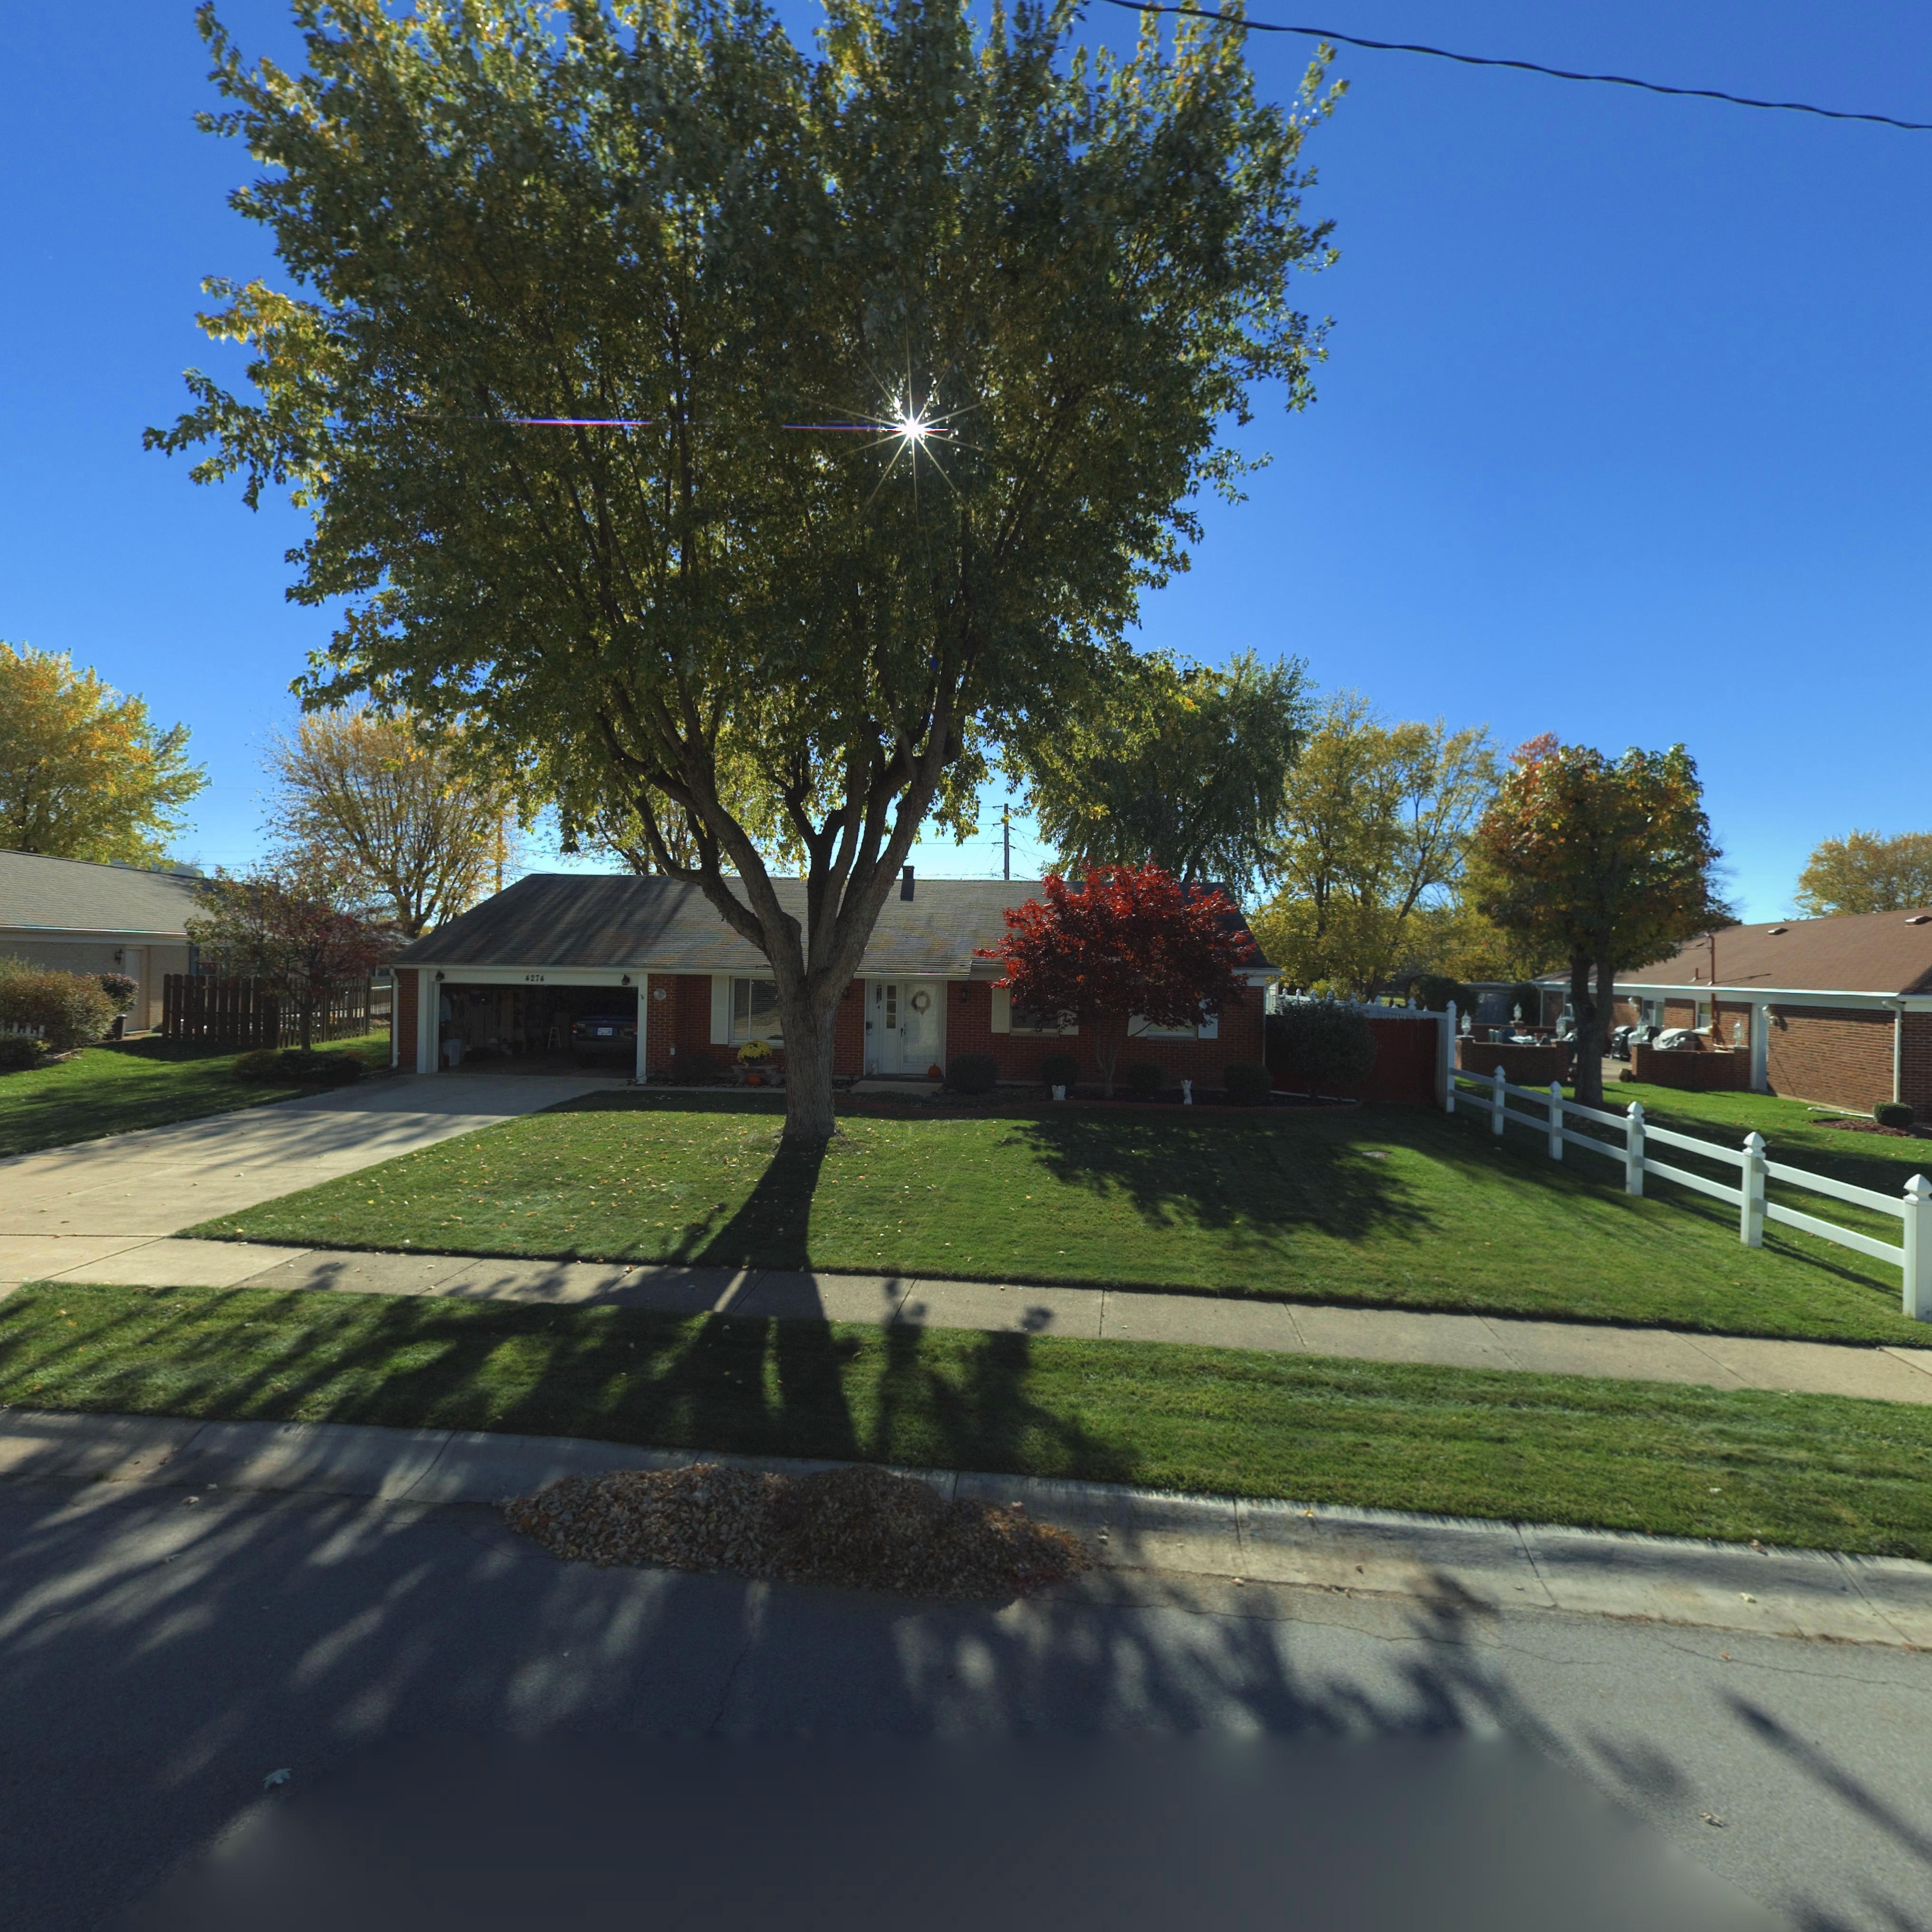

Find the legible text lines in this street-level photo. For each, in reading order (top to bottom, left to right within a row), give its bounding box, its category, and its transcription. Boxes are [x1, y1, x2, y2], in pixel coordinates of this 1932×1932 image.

[524, 973, 546, 983] StreetNumber: 4274